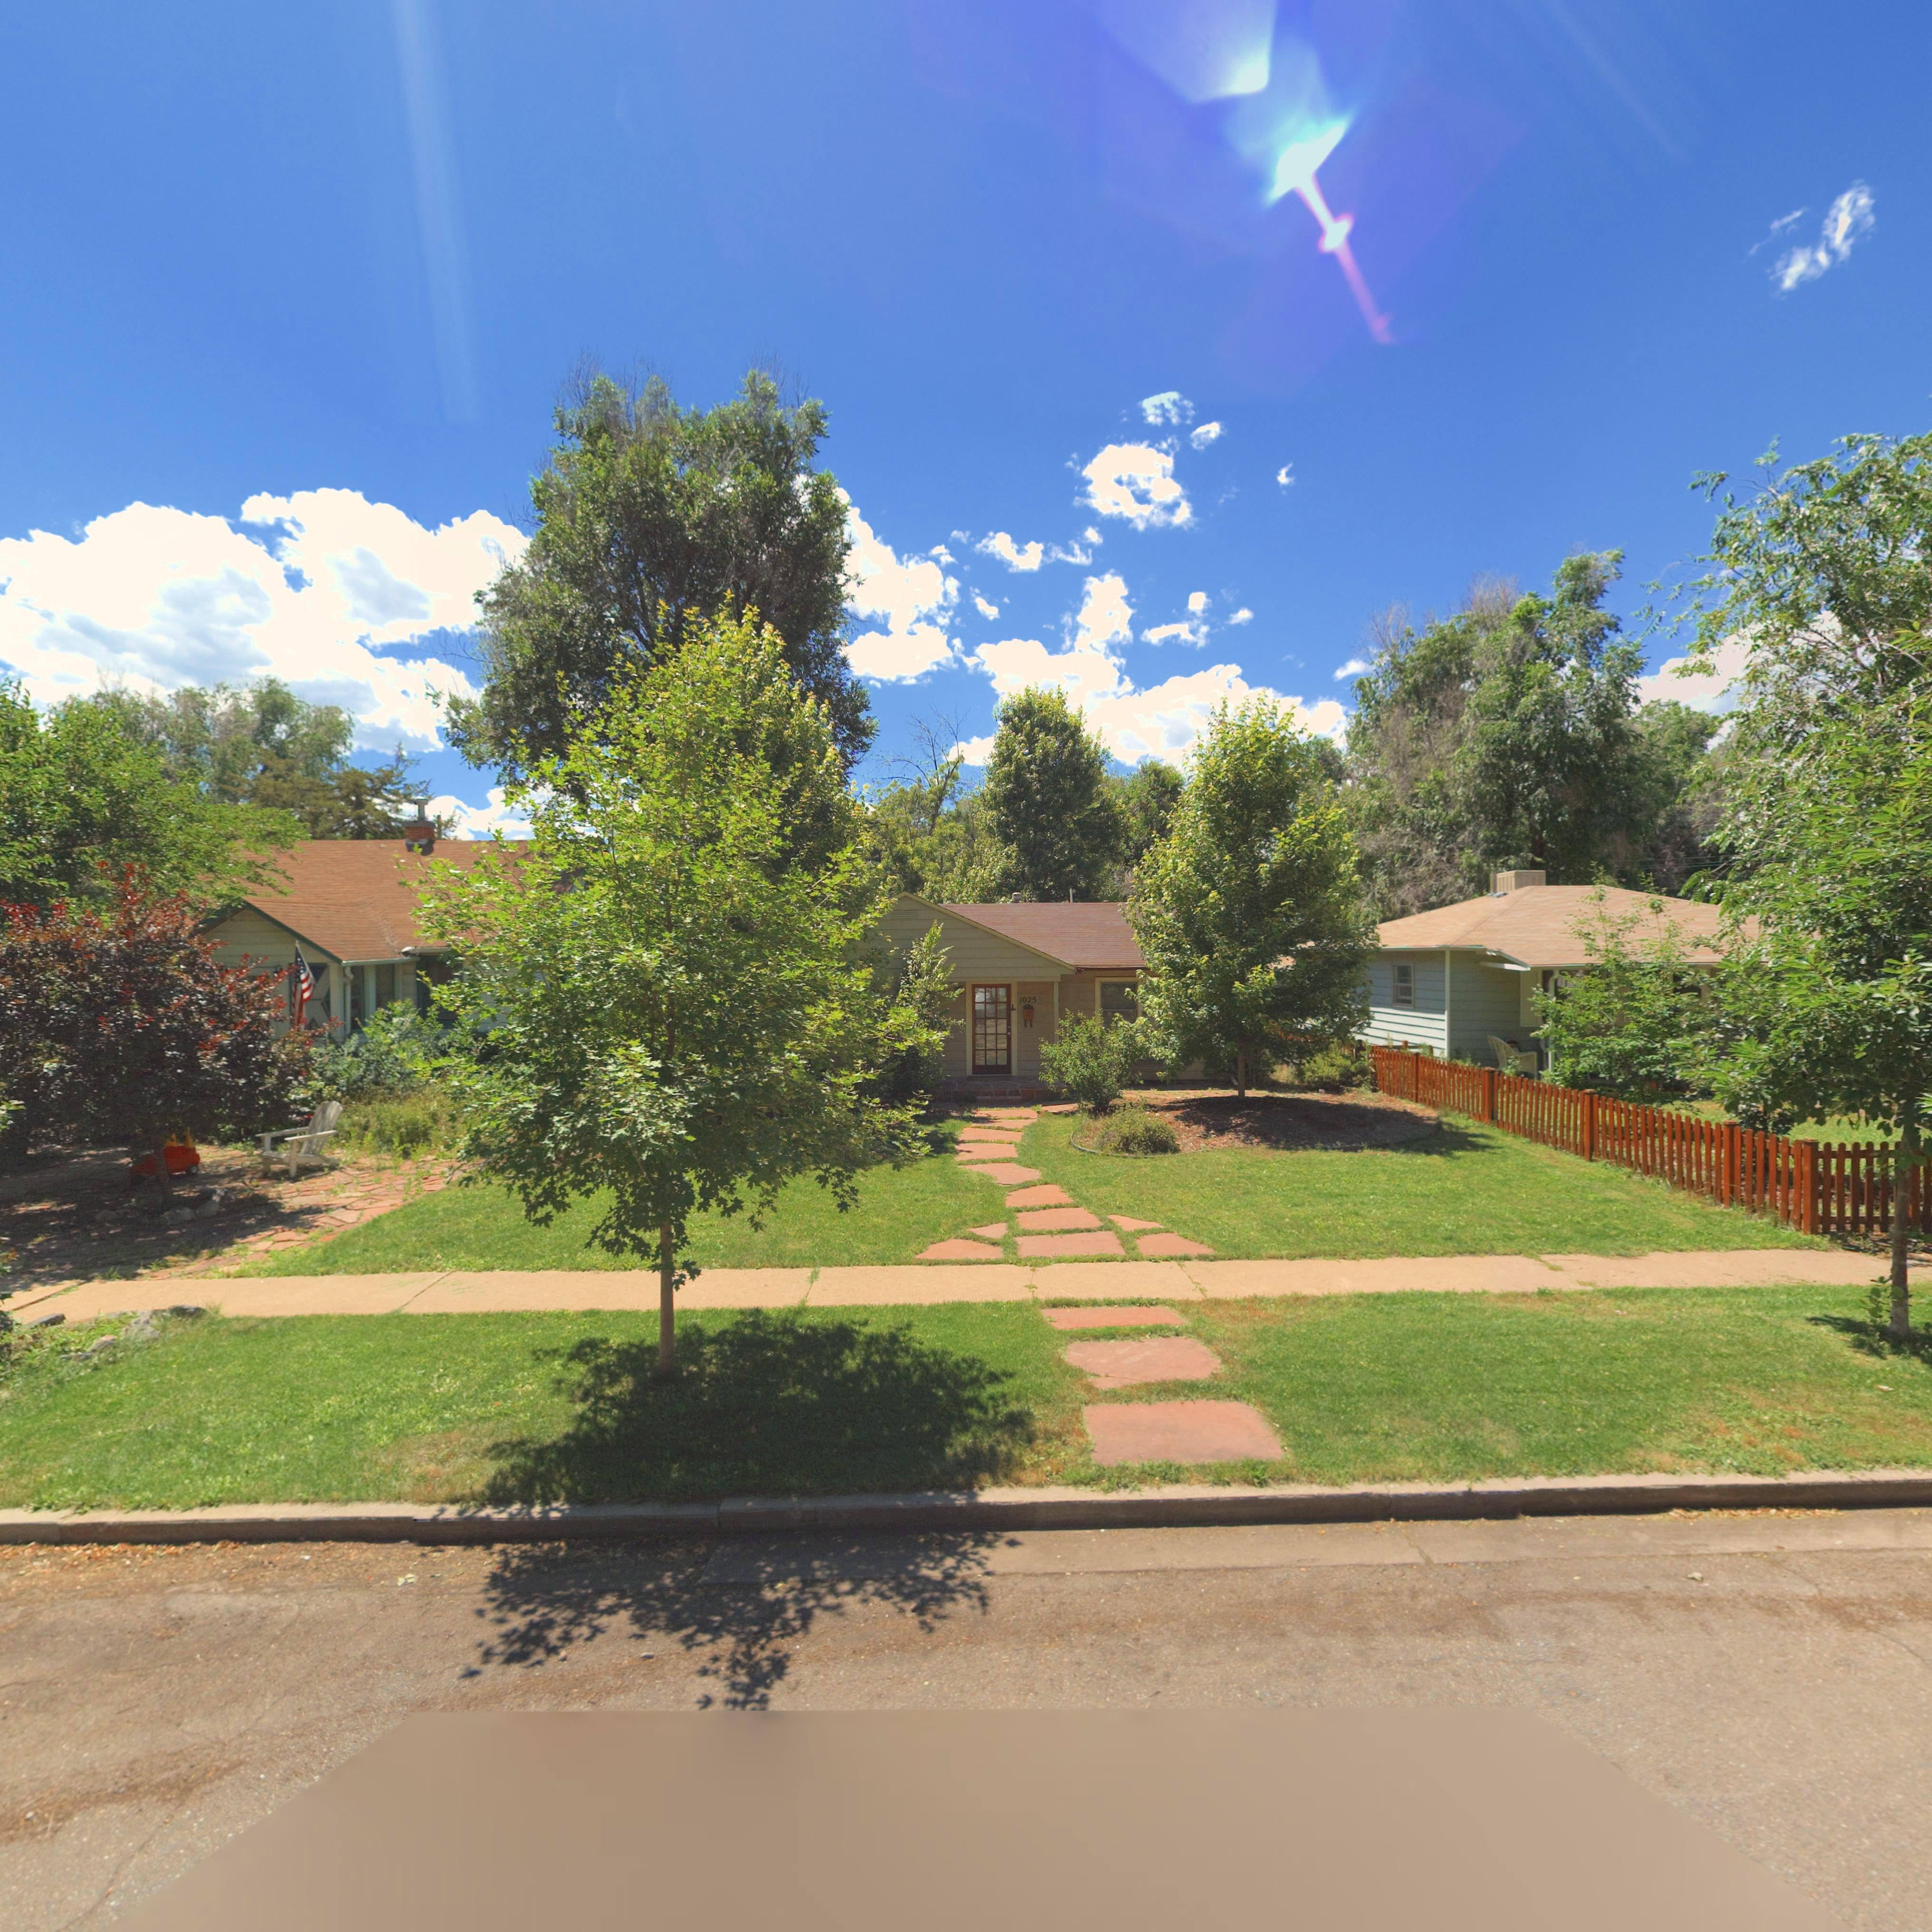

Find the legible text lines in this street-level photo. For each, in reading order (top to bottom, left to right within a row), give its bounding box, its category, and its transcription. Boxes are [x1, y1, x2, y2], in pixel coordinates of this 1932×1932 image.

[1019, 995, 1037, 1003] StreetNumber: 1025